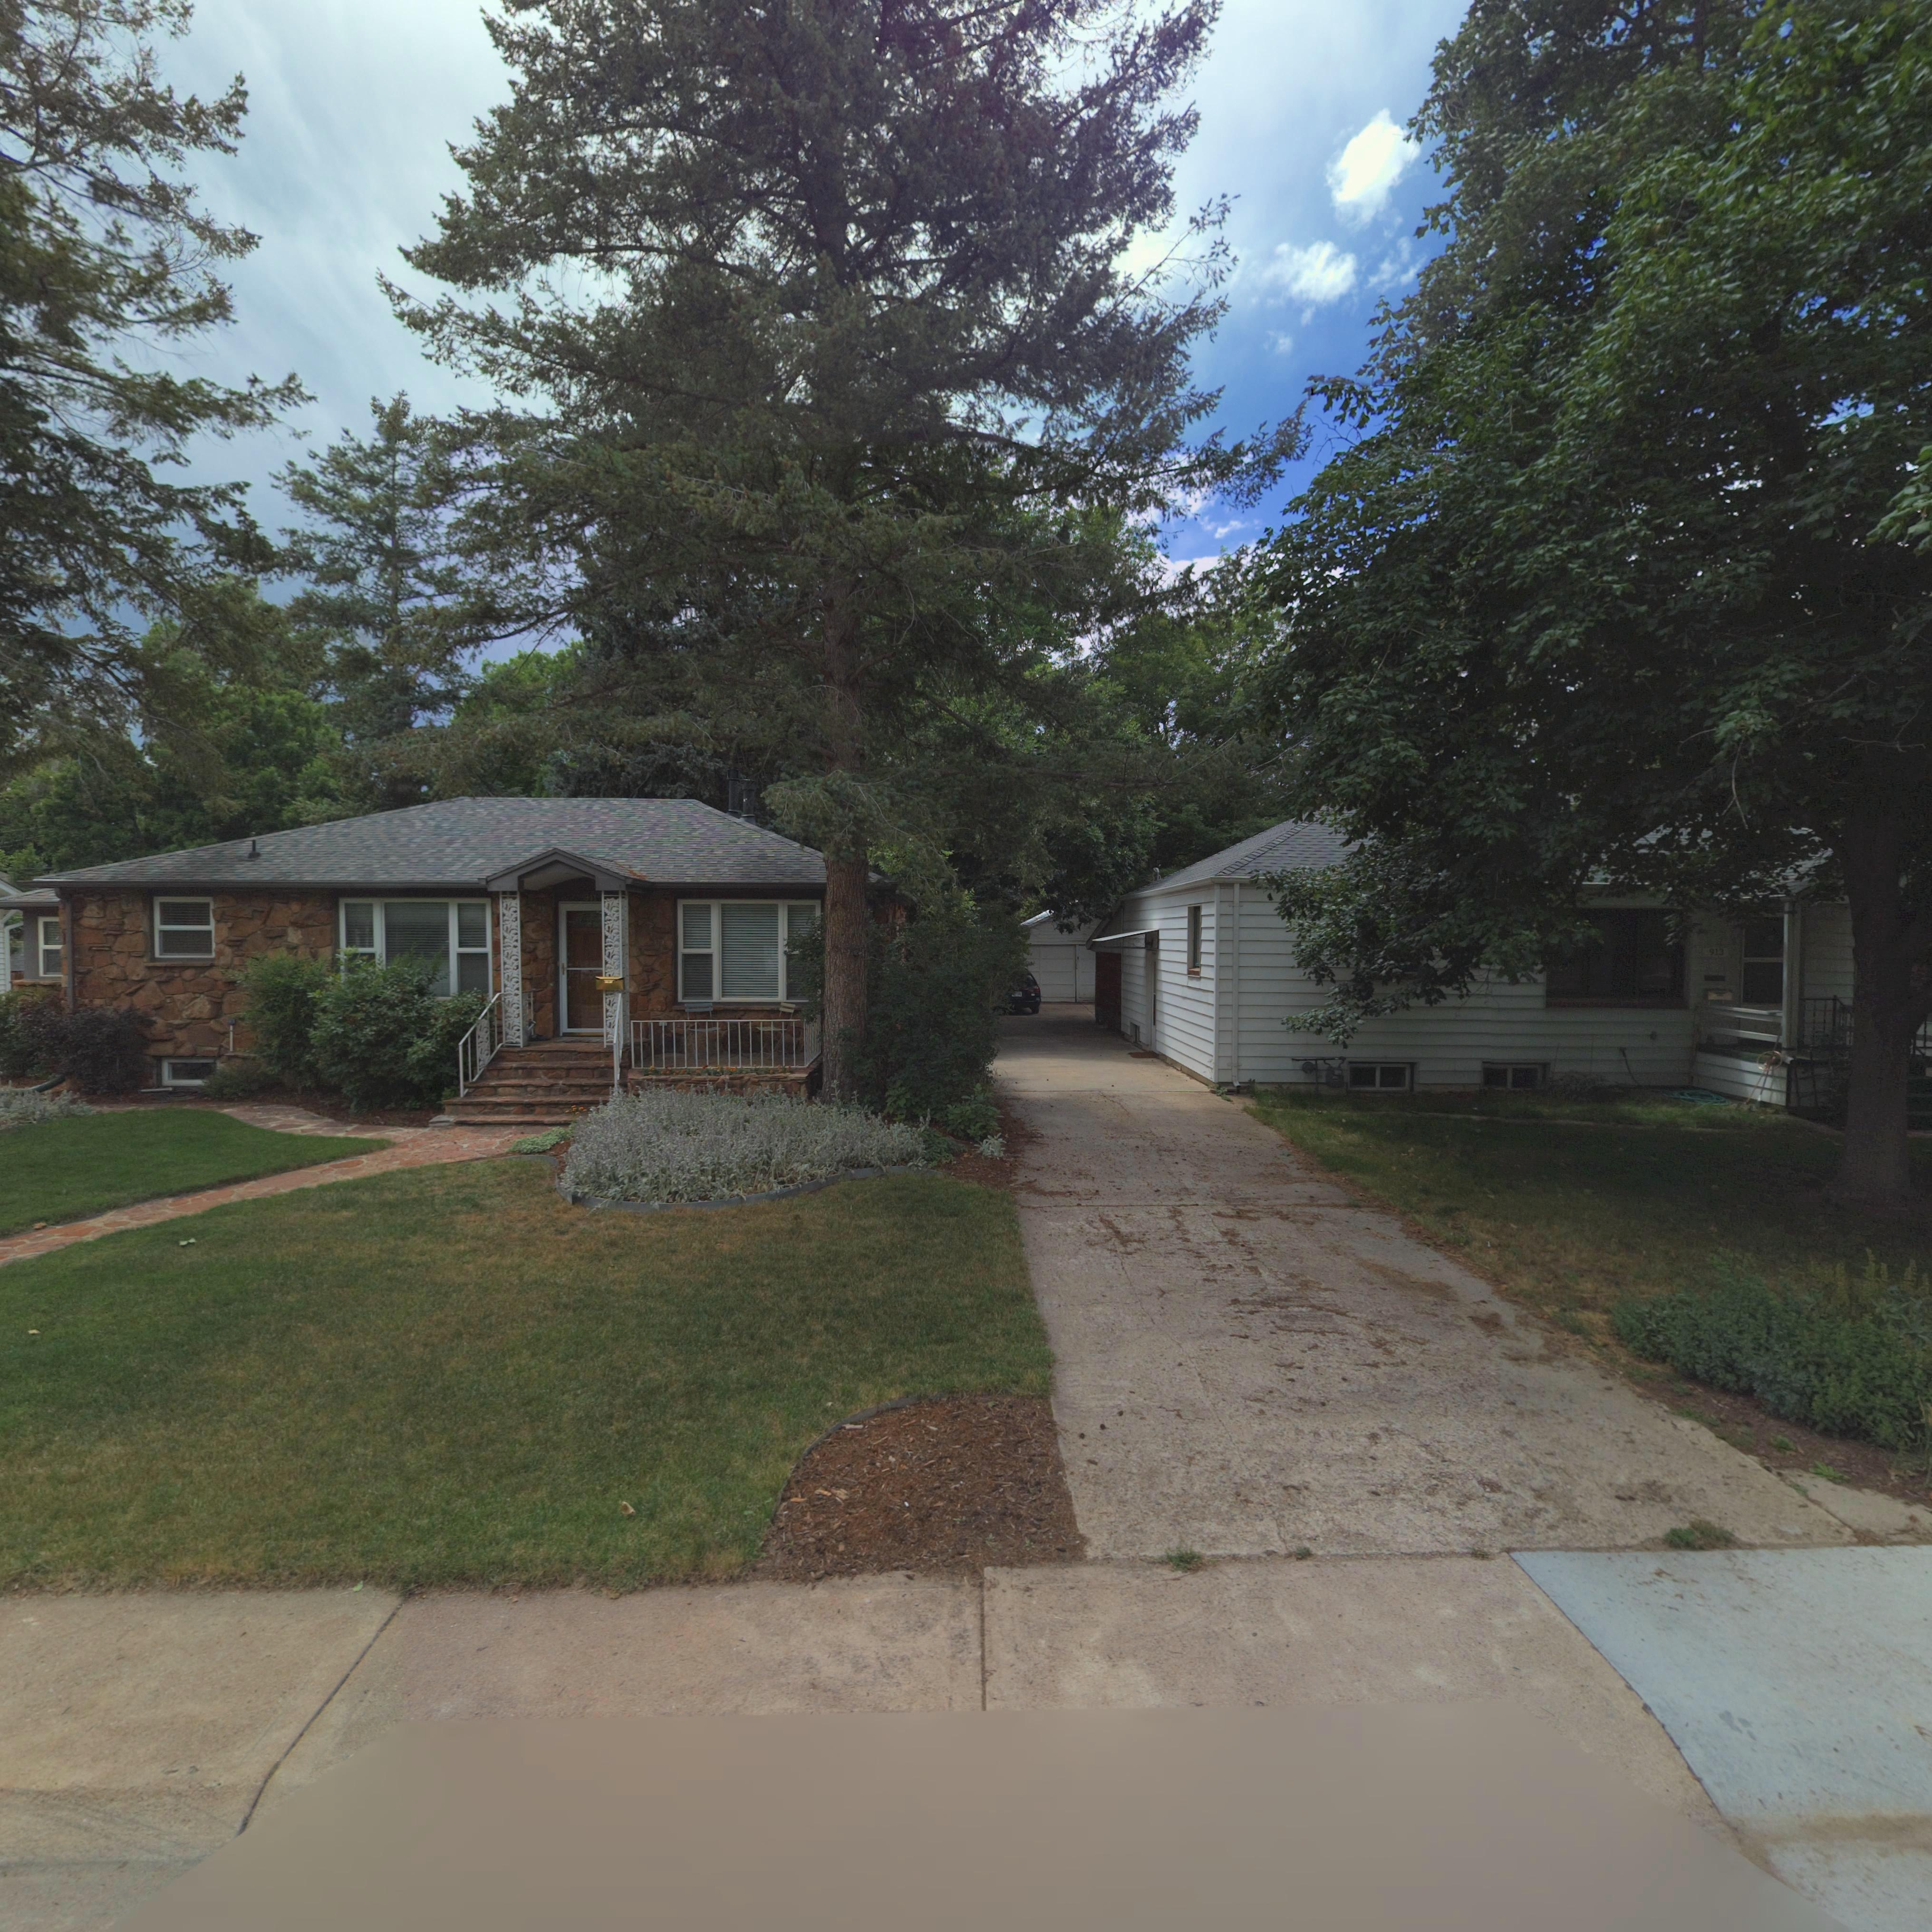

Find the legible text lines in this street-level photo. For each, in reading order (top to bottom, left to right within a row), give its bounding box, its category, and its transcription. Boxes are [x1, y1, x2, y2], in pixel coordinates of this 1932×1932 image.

[1709, 948, 1723, 956] StreetNumber: 913